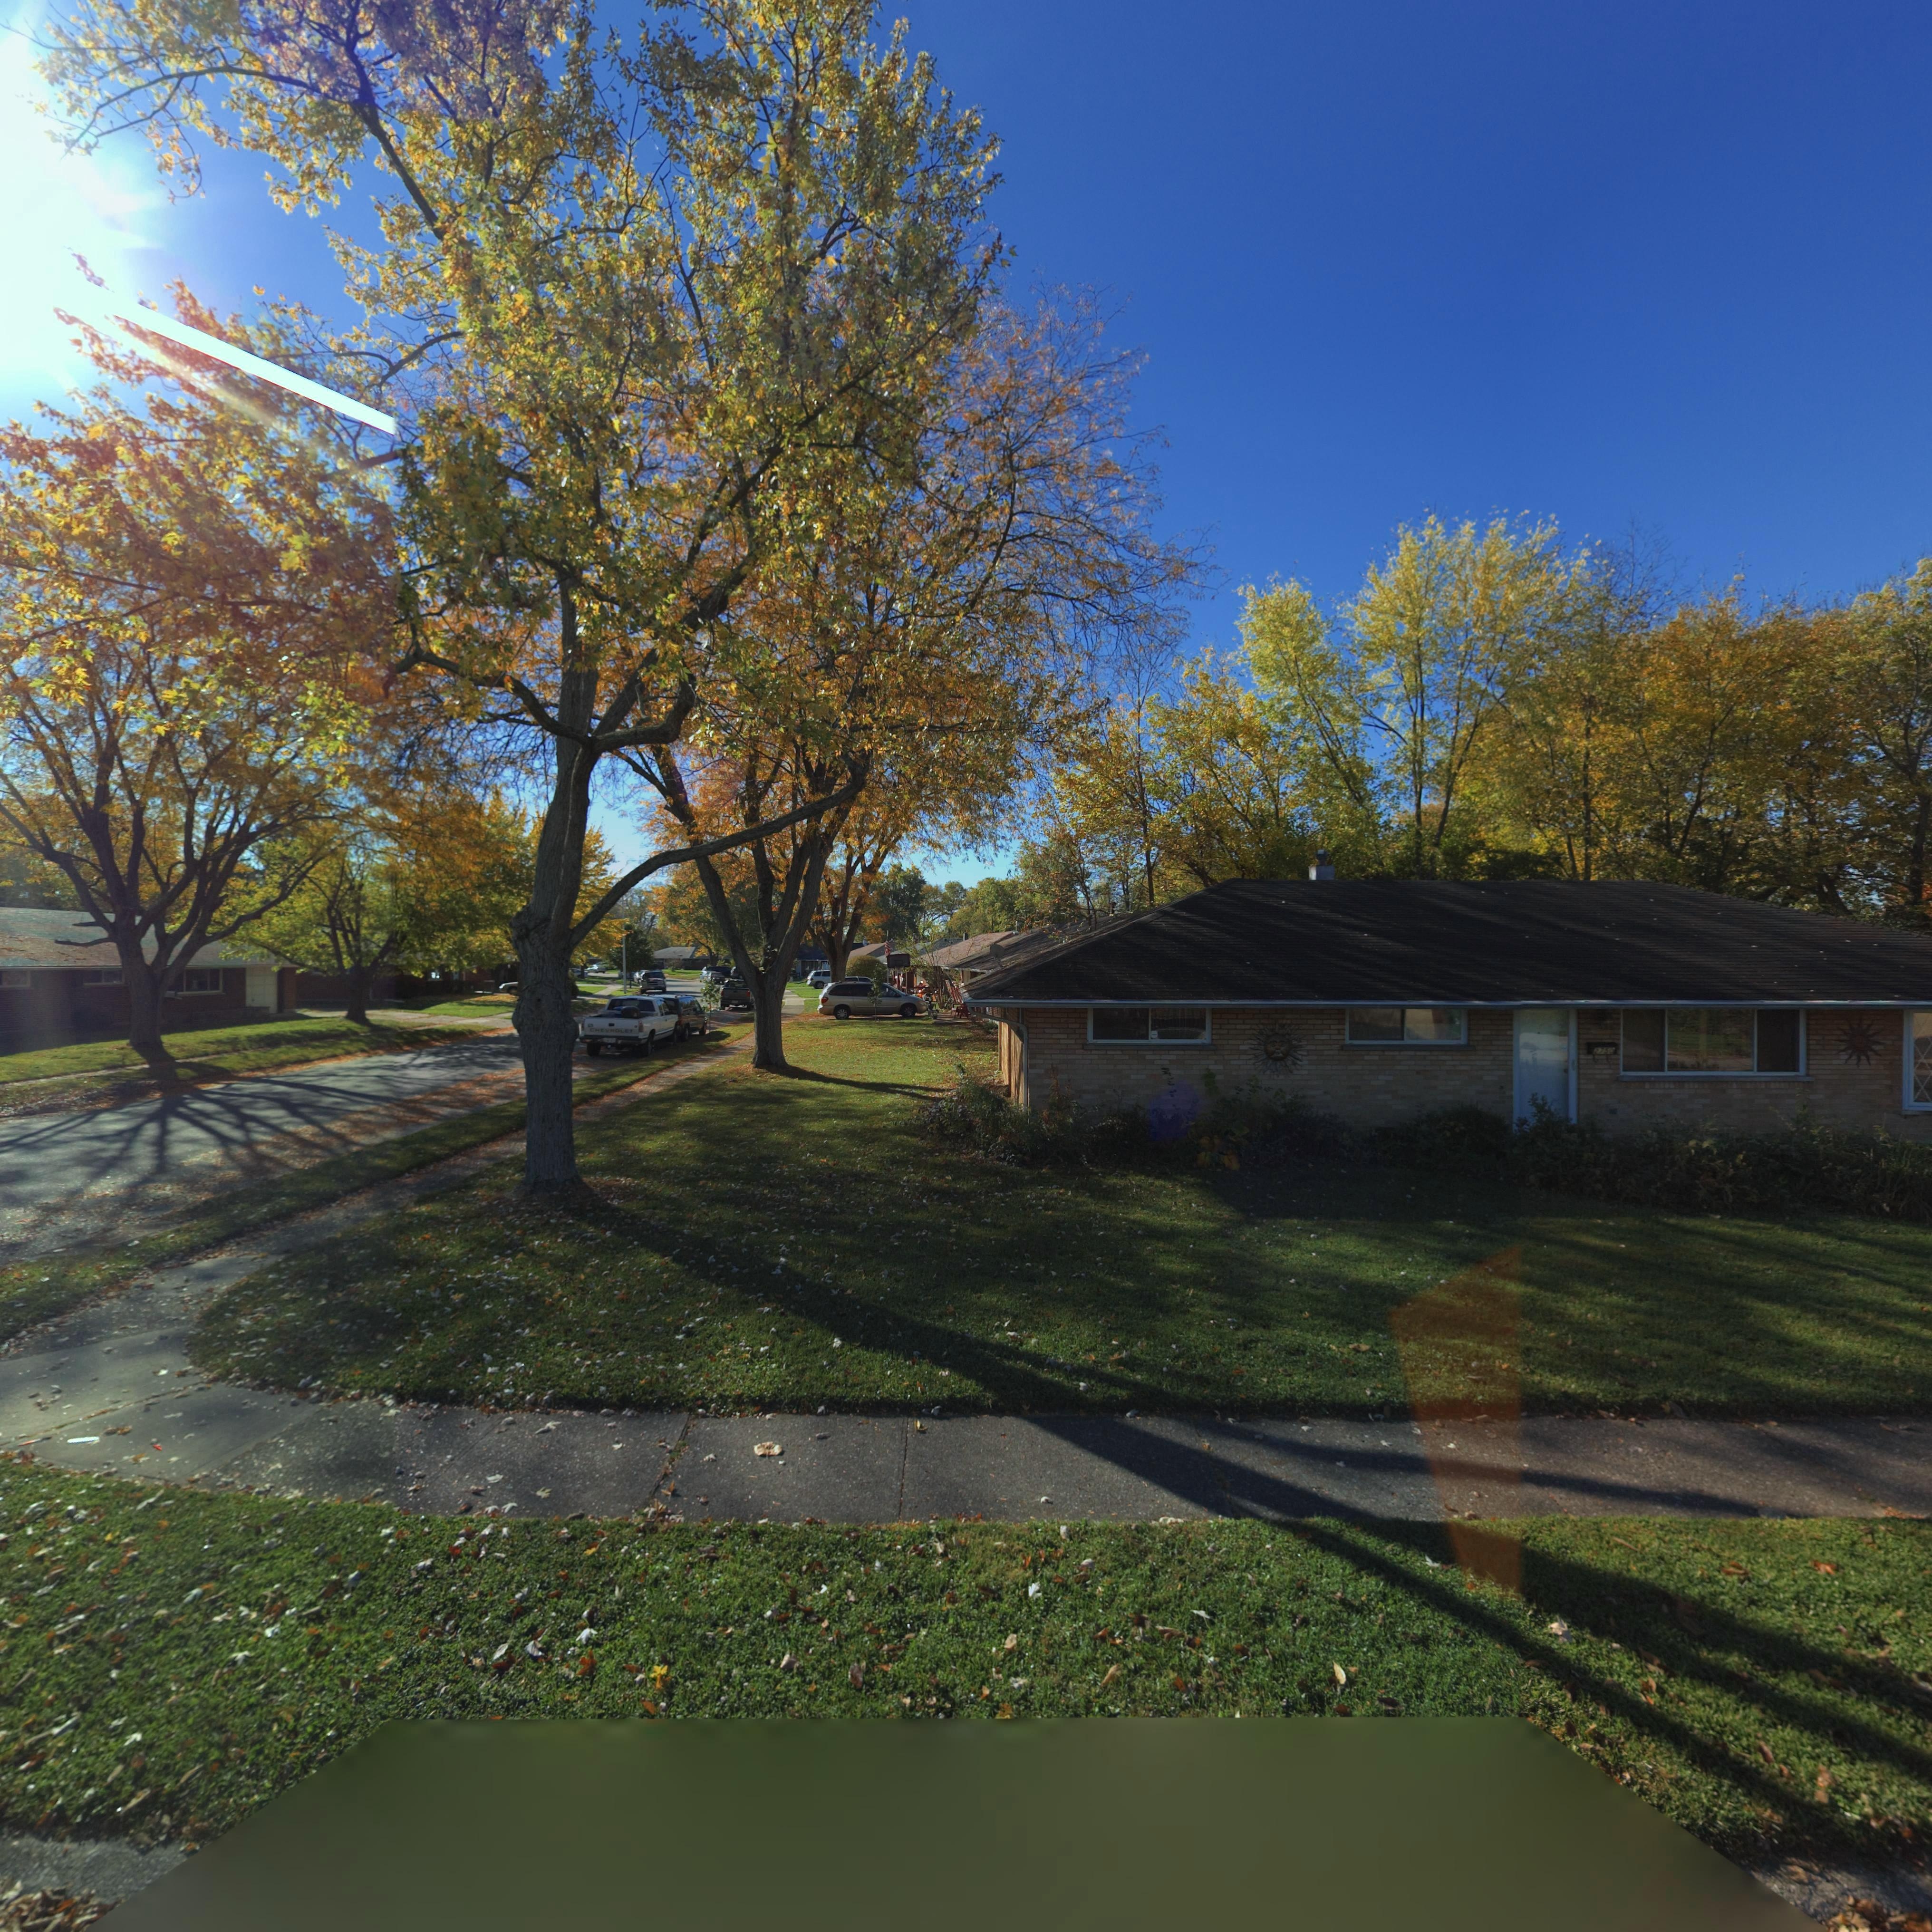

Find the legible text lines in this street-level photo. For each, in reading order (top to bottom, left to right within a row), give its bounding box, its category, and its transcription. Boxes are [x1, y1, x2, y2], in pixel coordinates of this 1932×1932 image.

[1594, 1047, 1614, 1054] StreetNumber: 2750